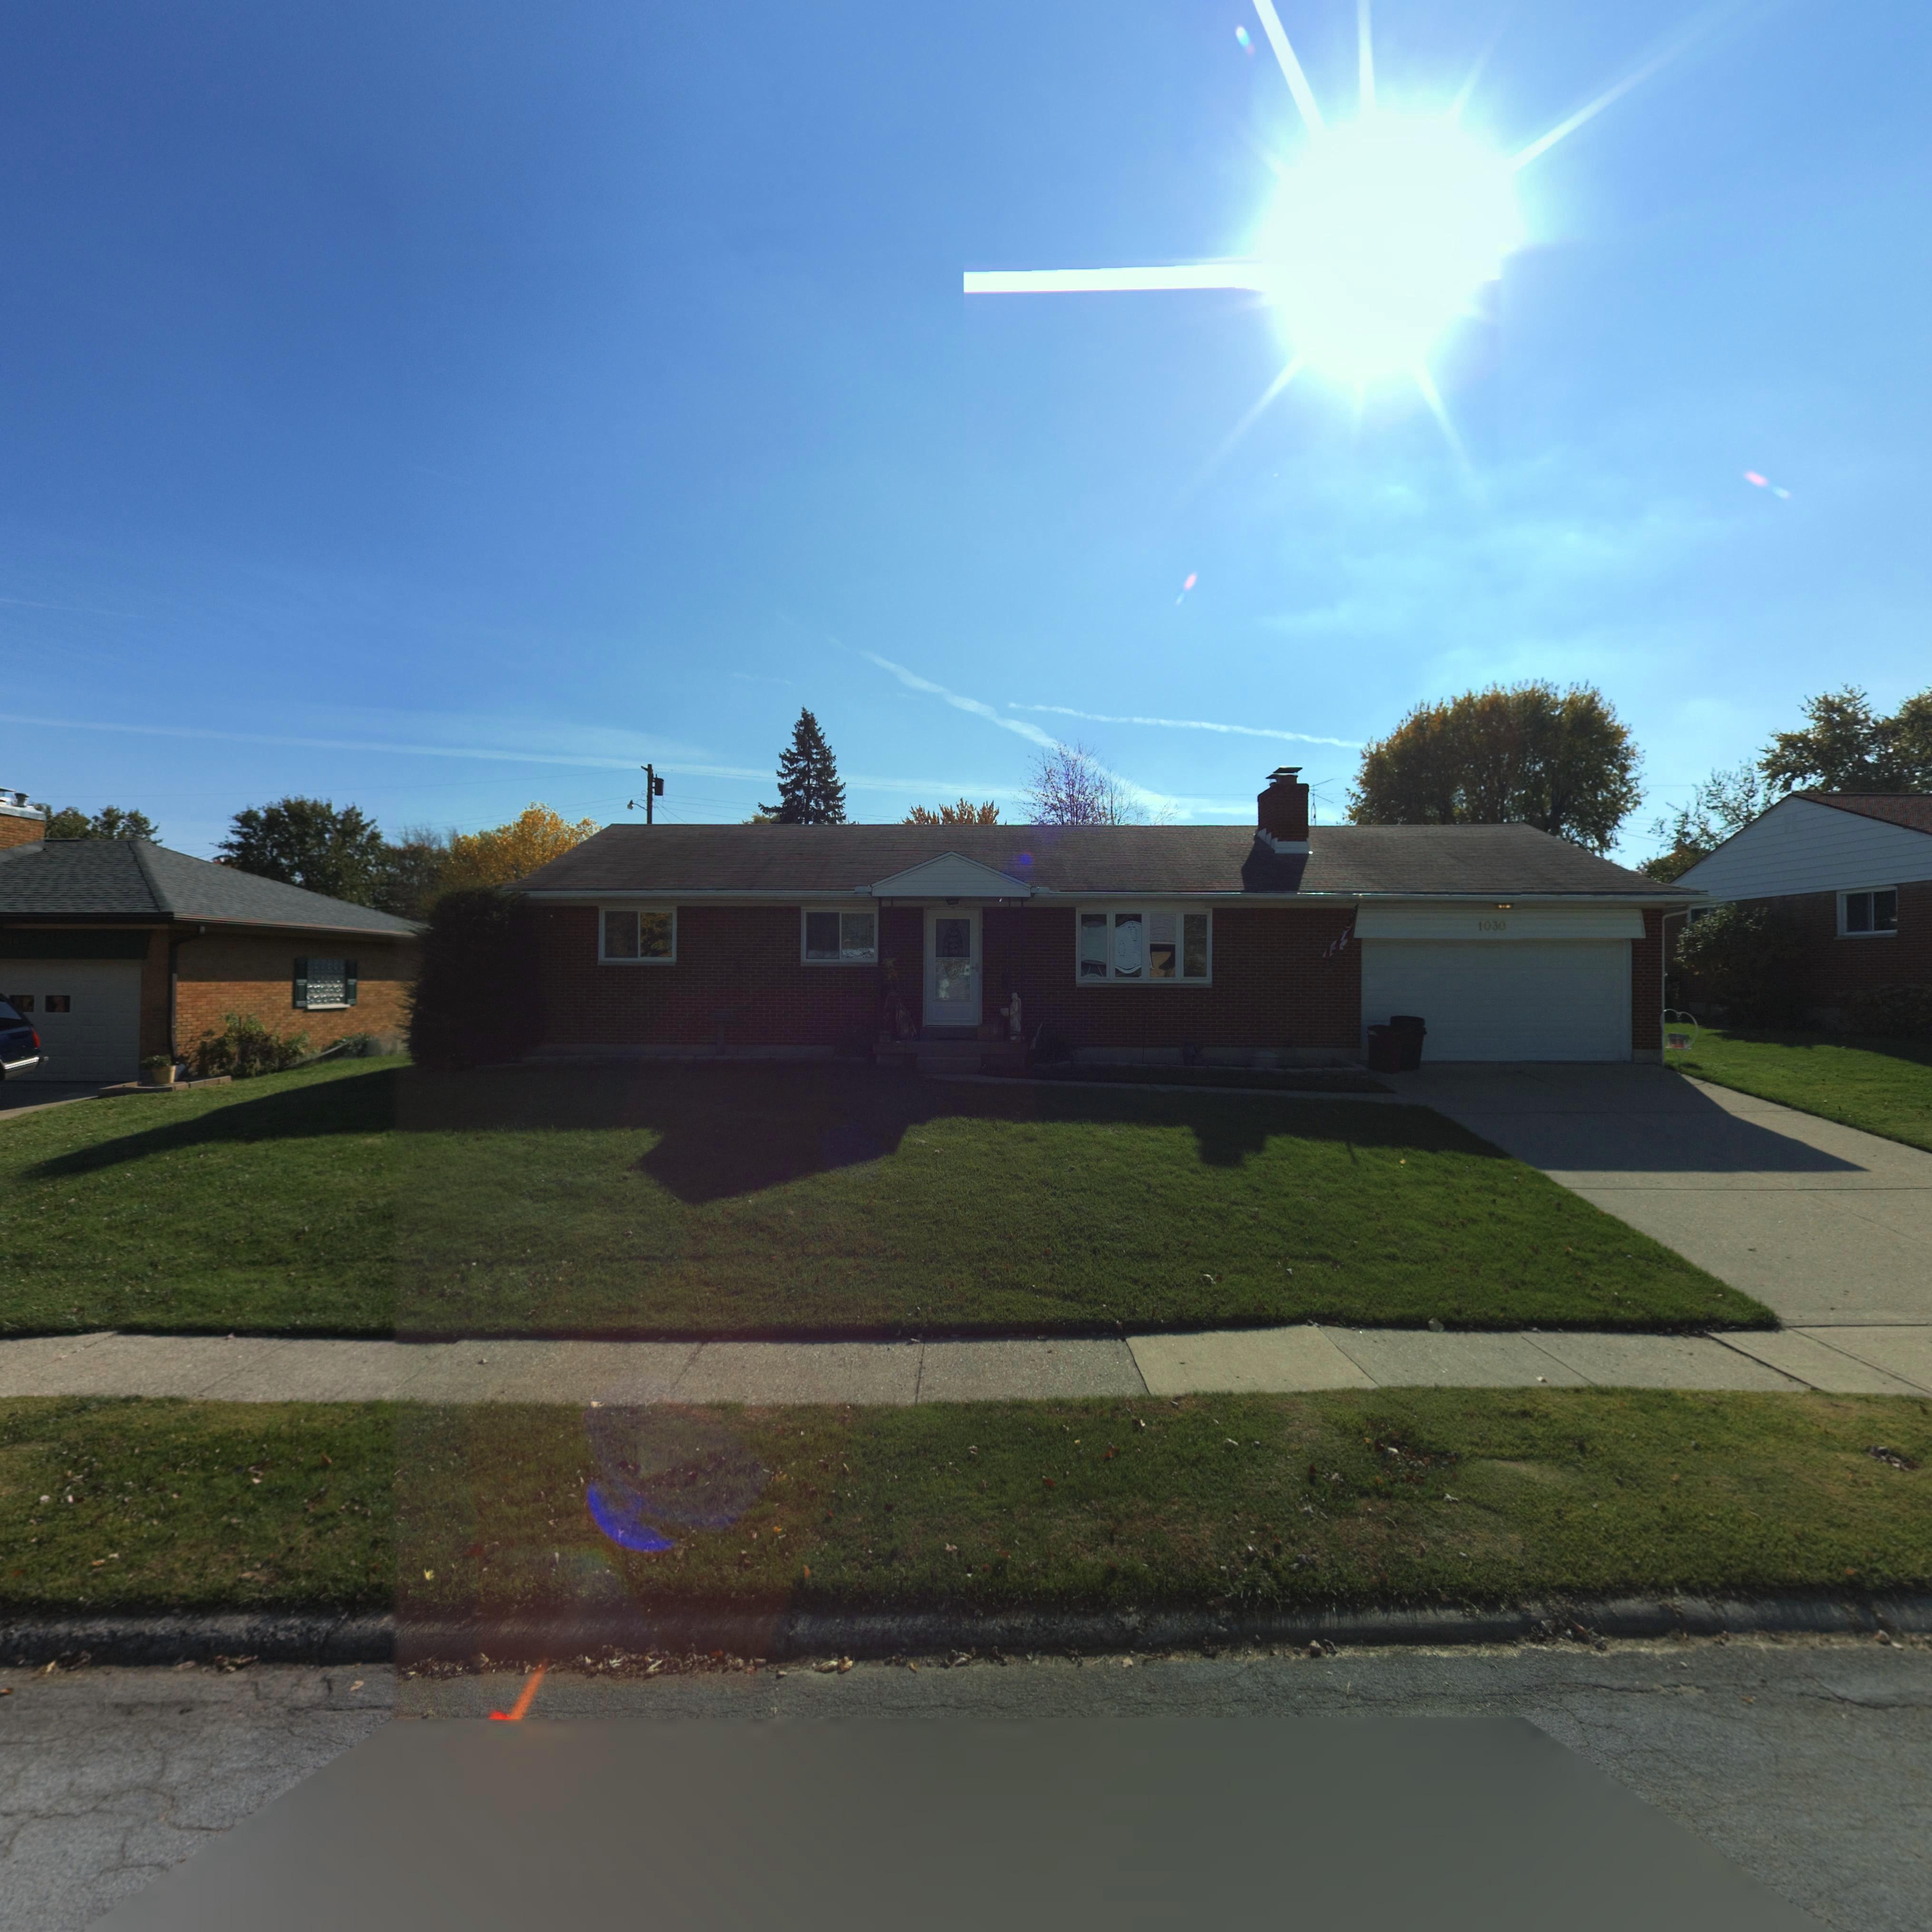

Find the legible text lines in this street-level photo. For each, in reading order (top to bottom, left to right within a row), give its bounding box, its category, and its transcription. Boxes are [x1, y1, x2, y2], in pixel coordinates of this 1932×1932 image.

[1477, 919, 1507, 932] StreetNumber: 1030